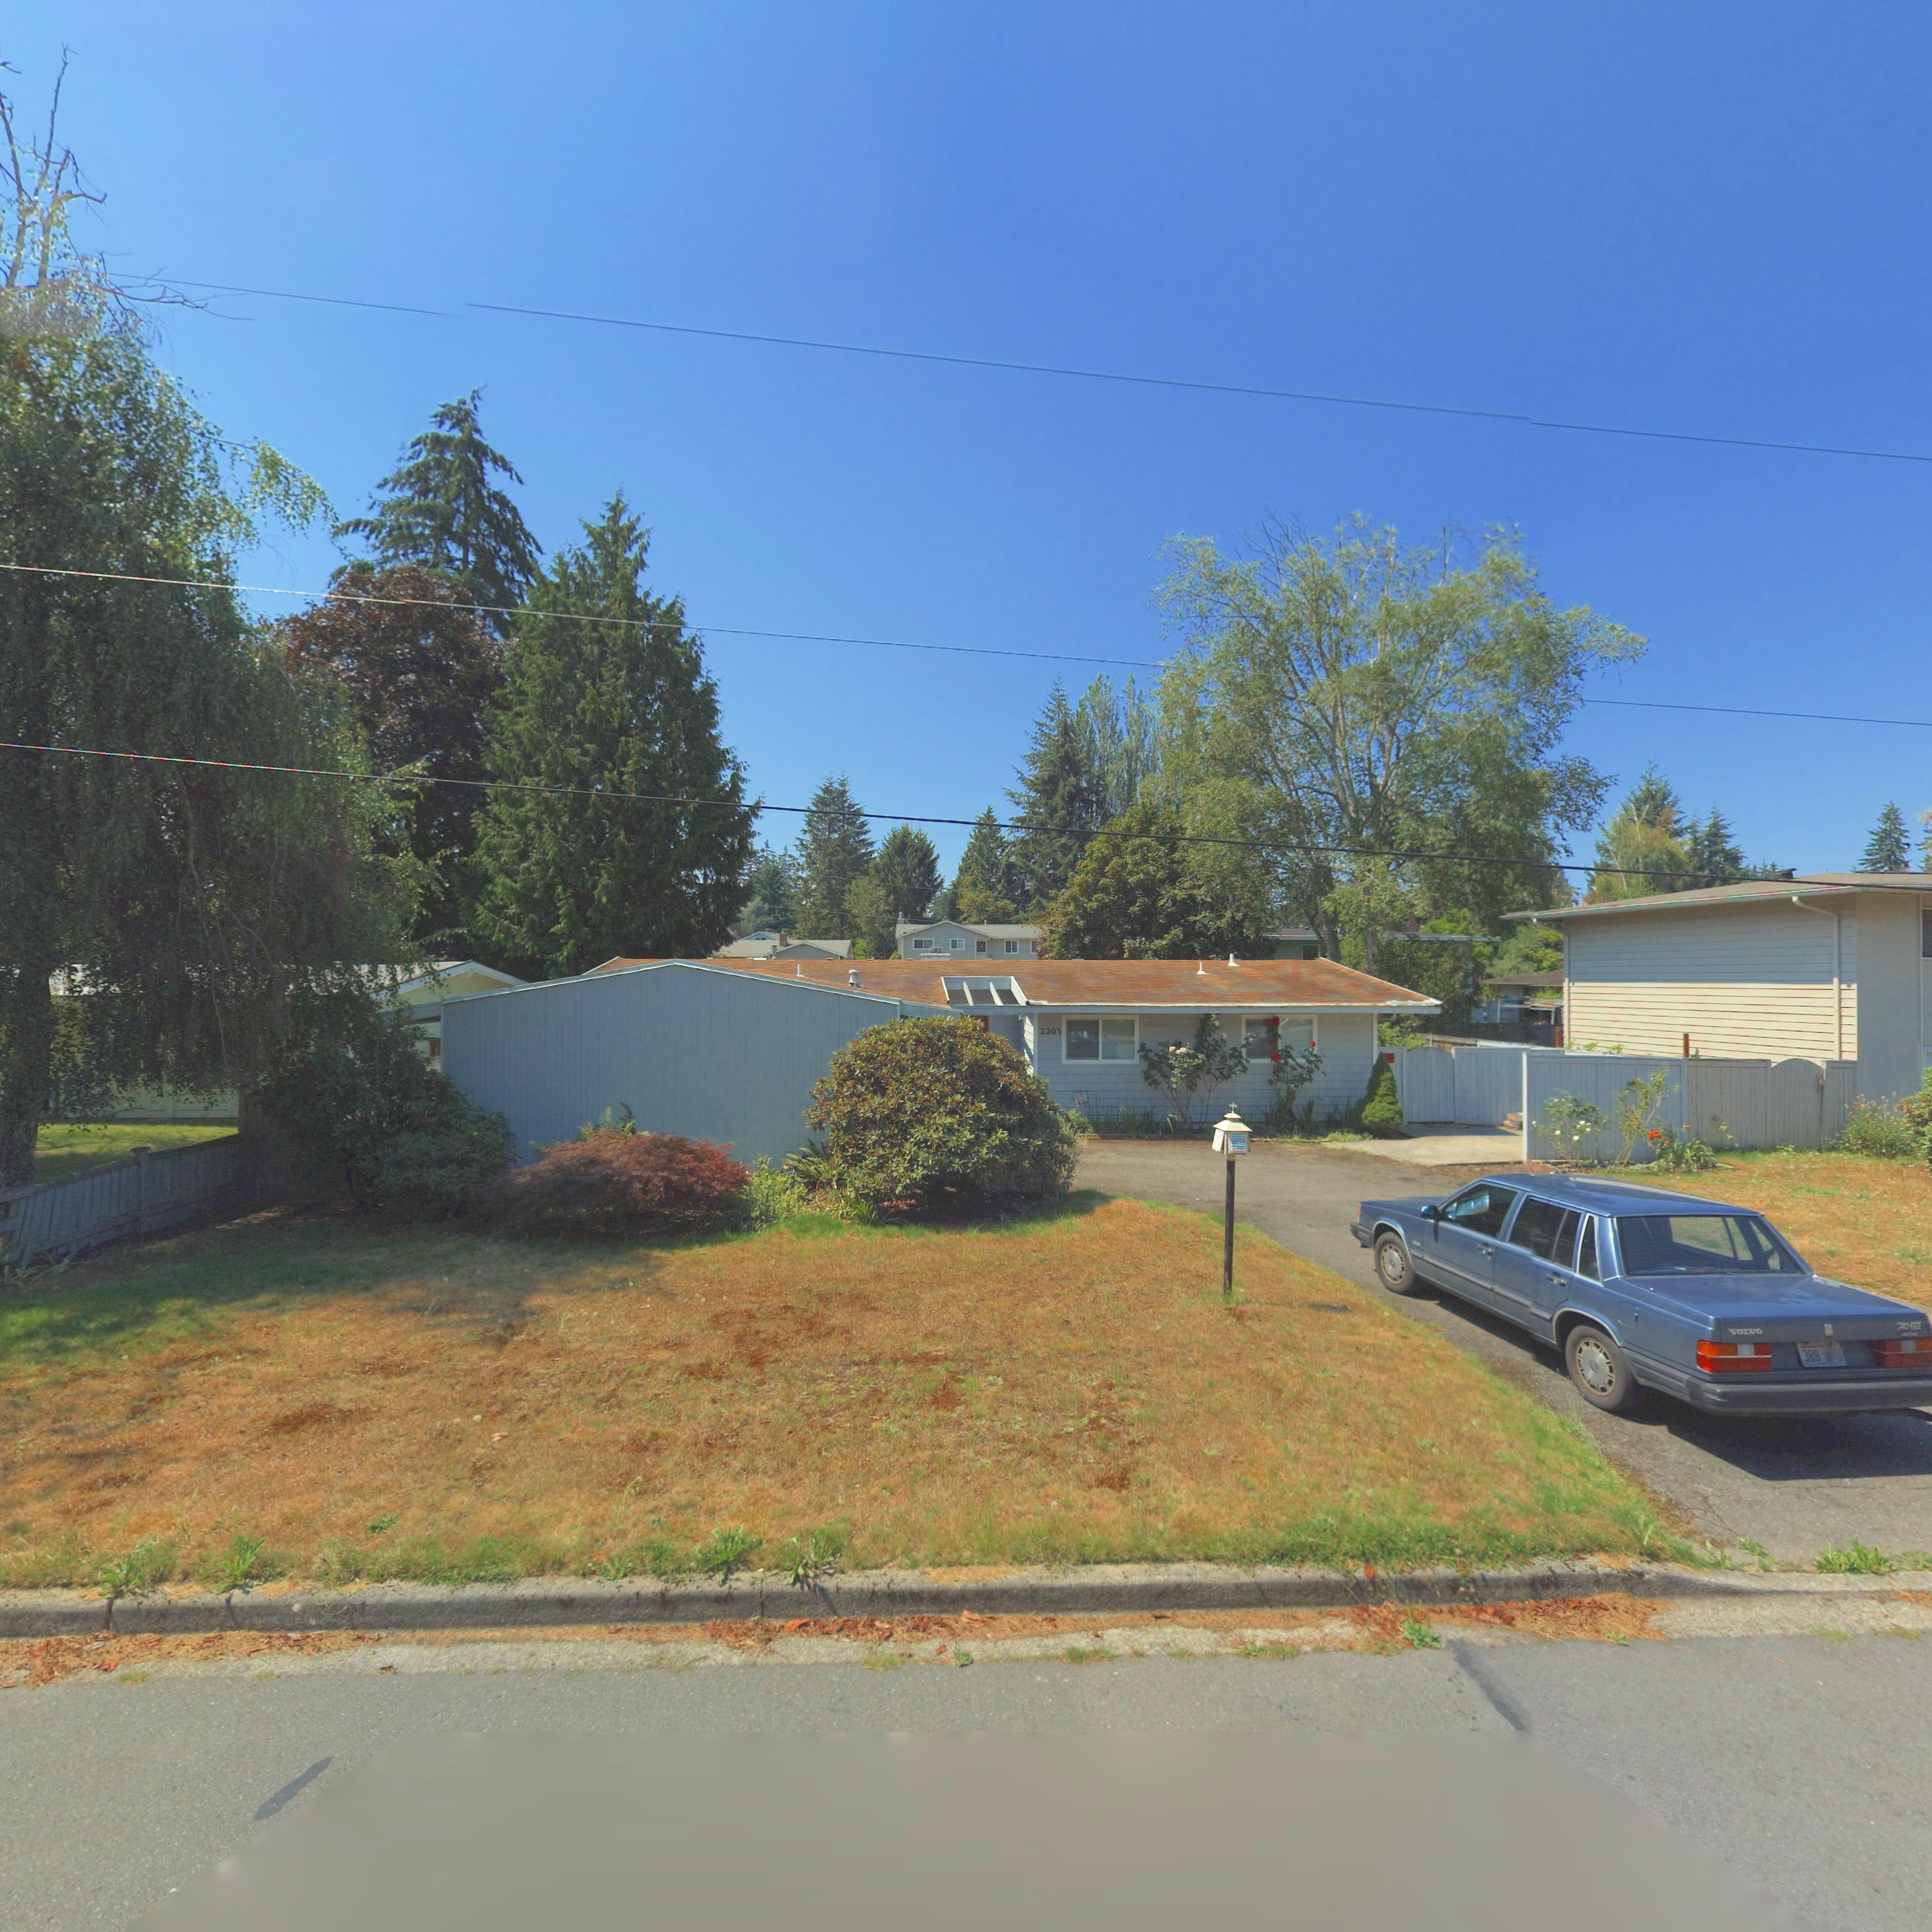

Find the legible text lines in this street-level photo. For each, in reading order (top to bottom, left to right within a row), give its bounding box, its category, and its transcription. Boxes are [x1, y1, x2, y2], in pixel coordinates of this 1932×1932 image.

[1040, 1027, 1062, 1034] StreetNumber: 2203